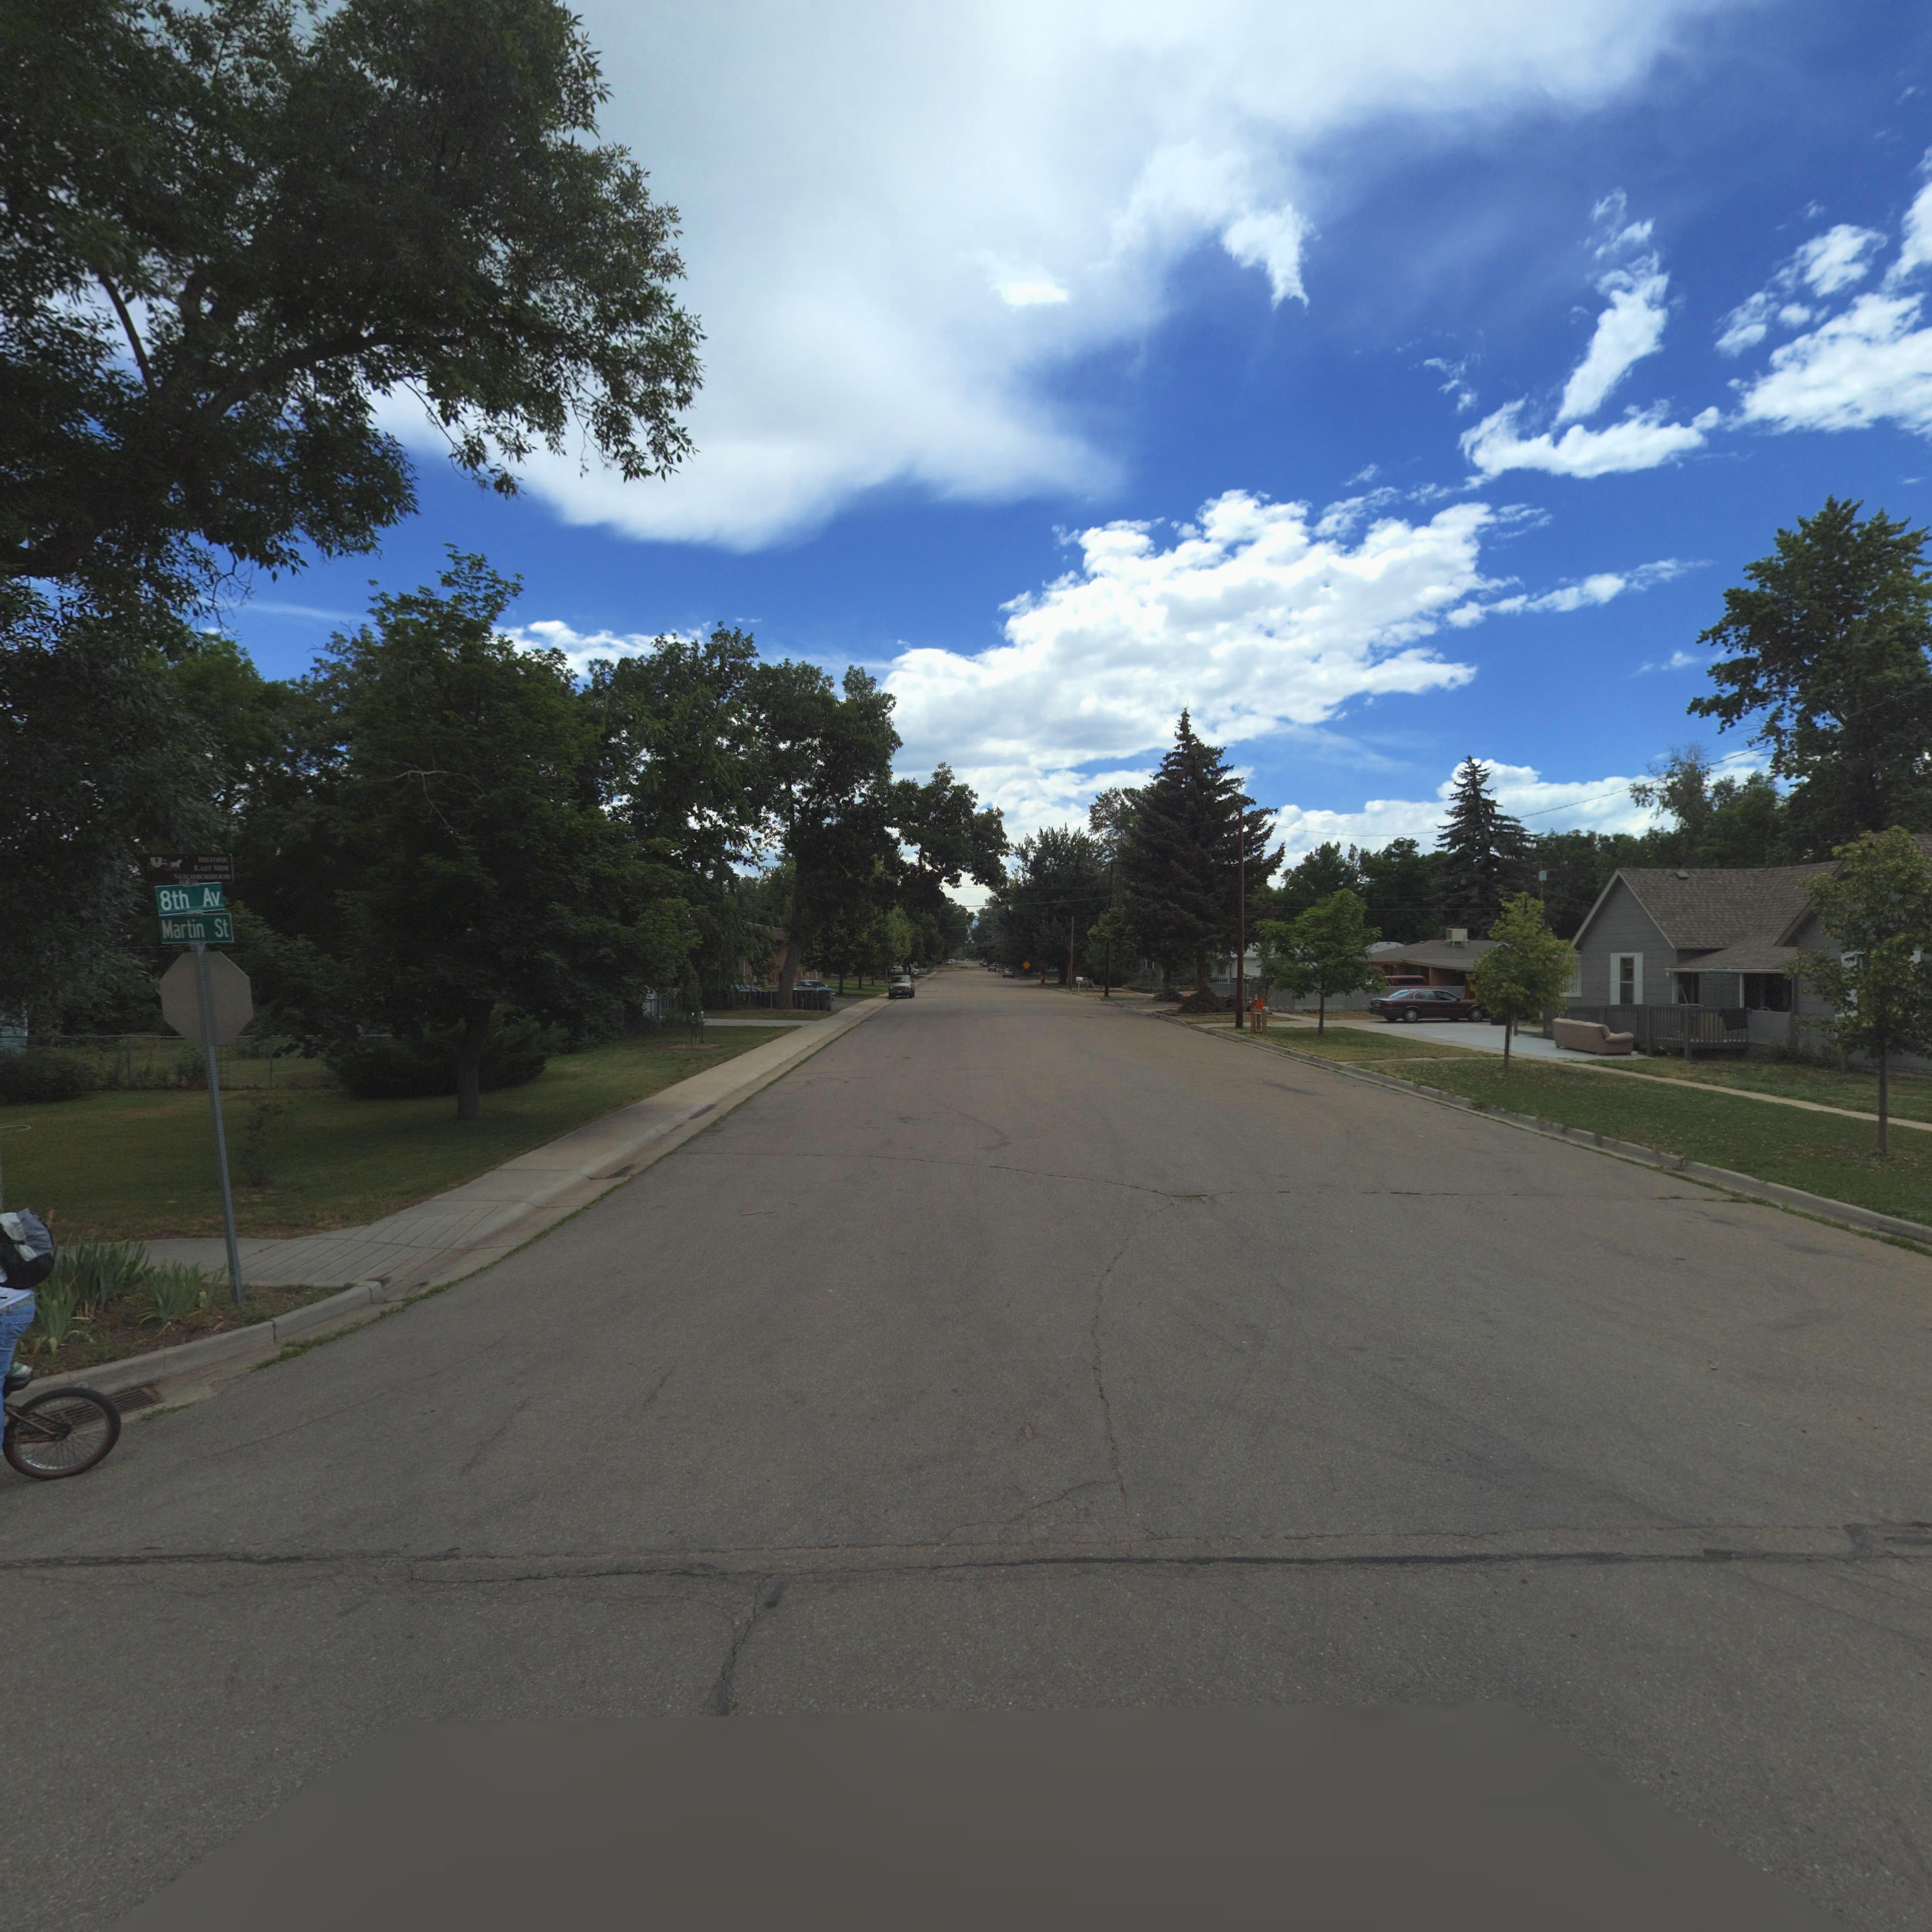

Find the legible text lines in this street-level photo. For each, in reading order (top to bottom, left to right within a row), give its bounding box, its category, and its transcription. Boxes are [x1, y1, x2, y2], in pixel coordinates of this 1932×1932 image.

[159, 887, 220, 911] StreetName: 8th Av
[161, 918, 229, 939] StreetName: Martin St